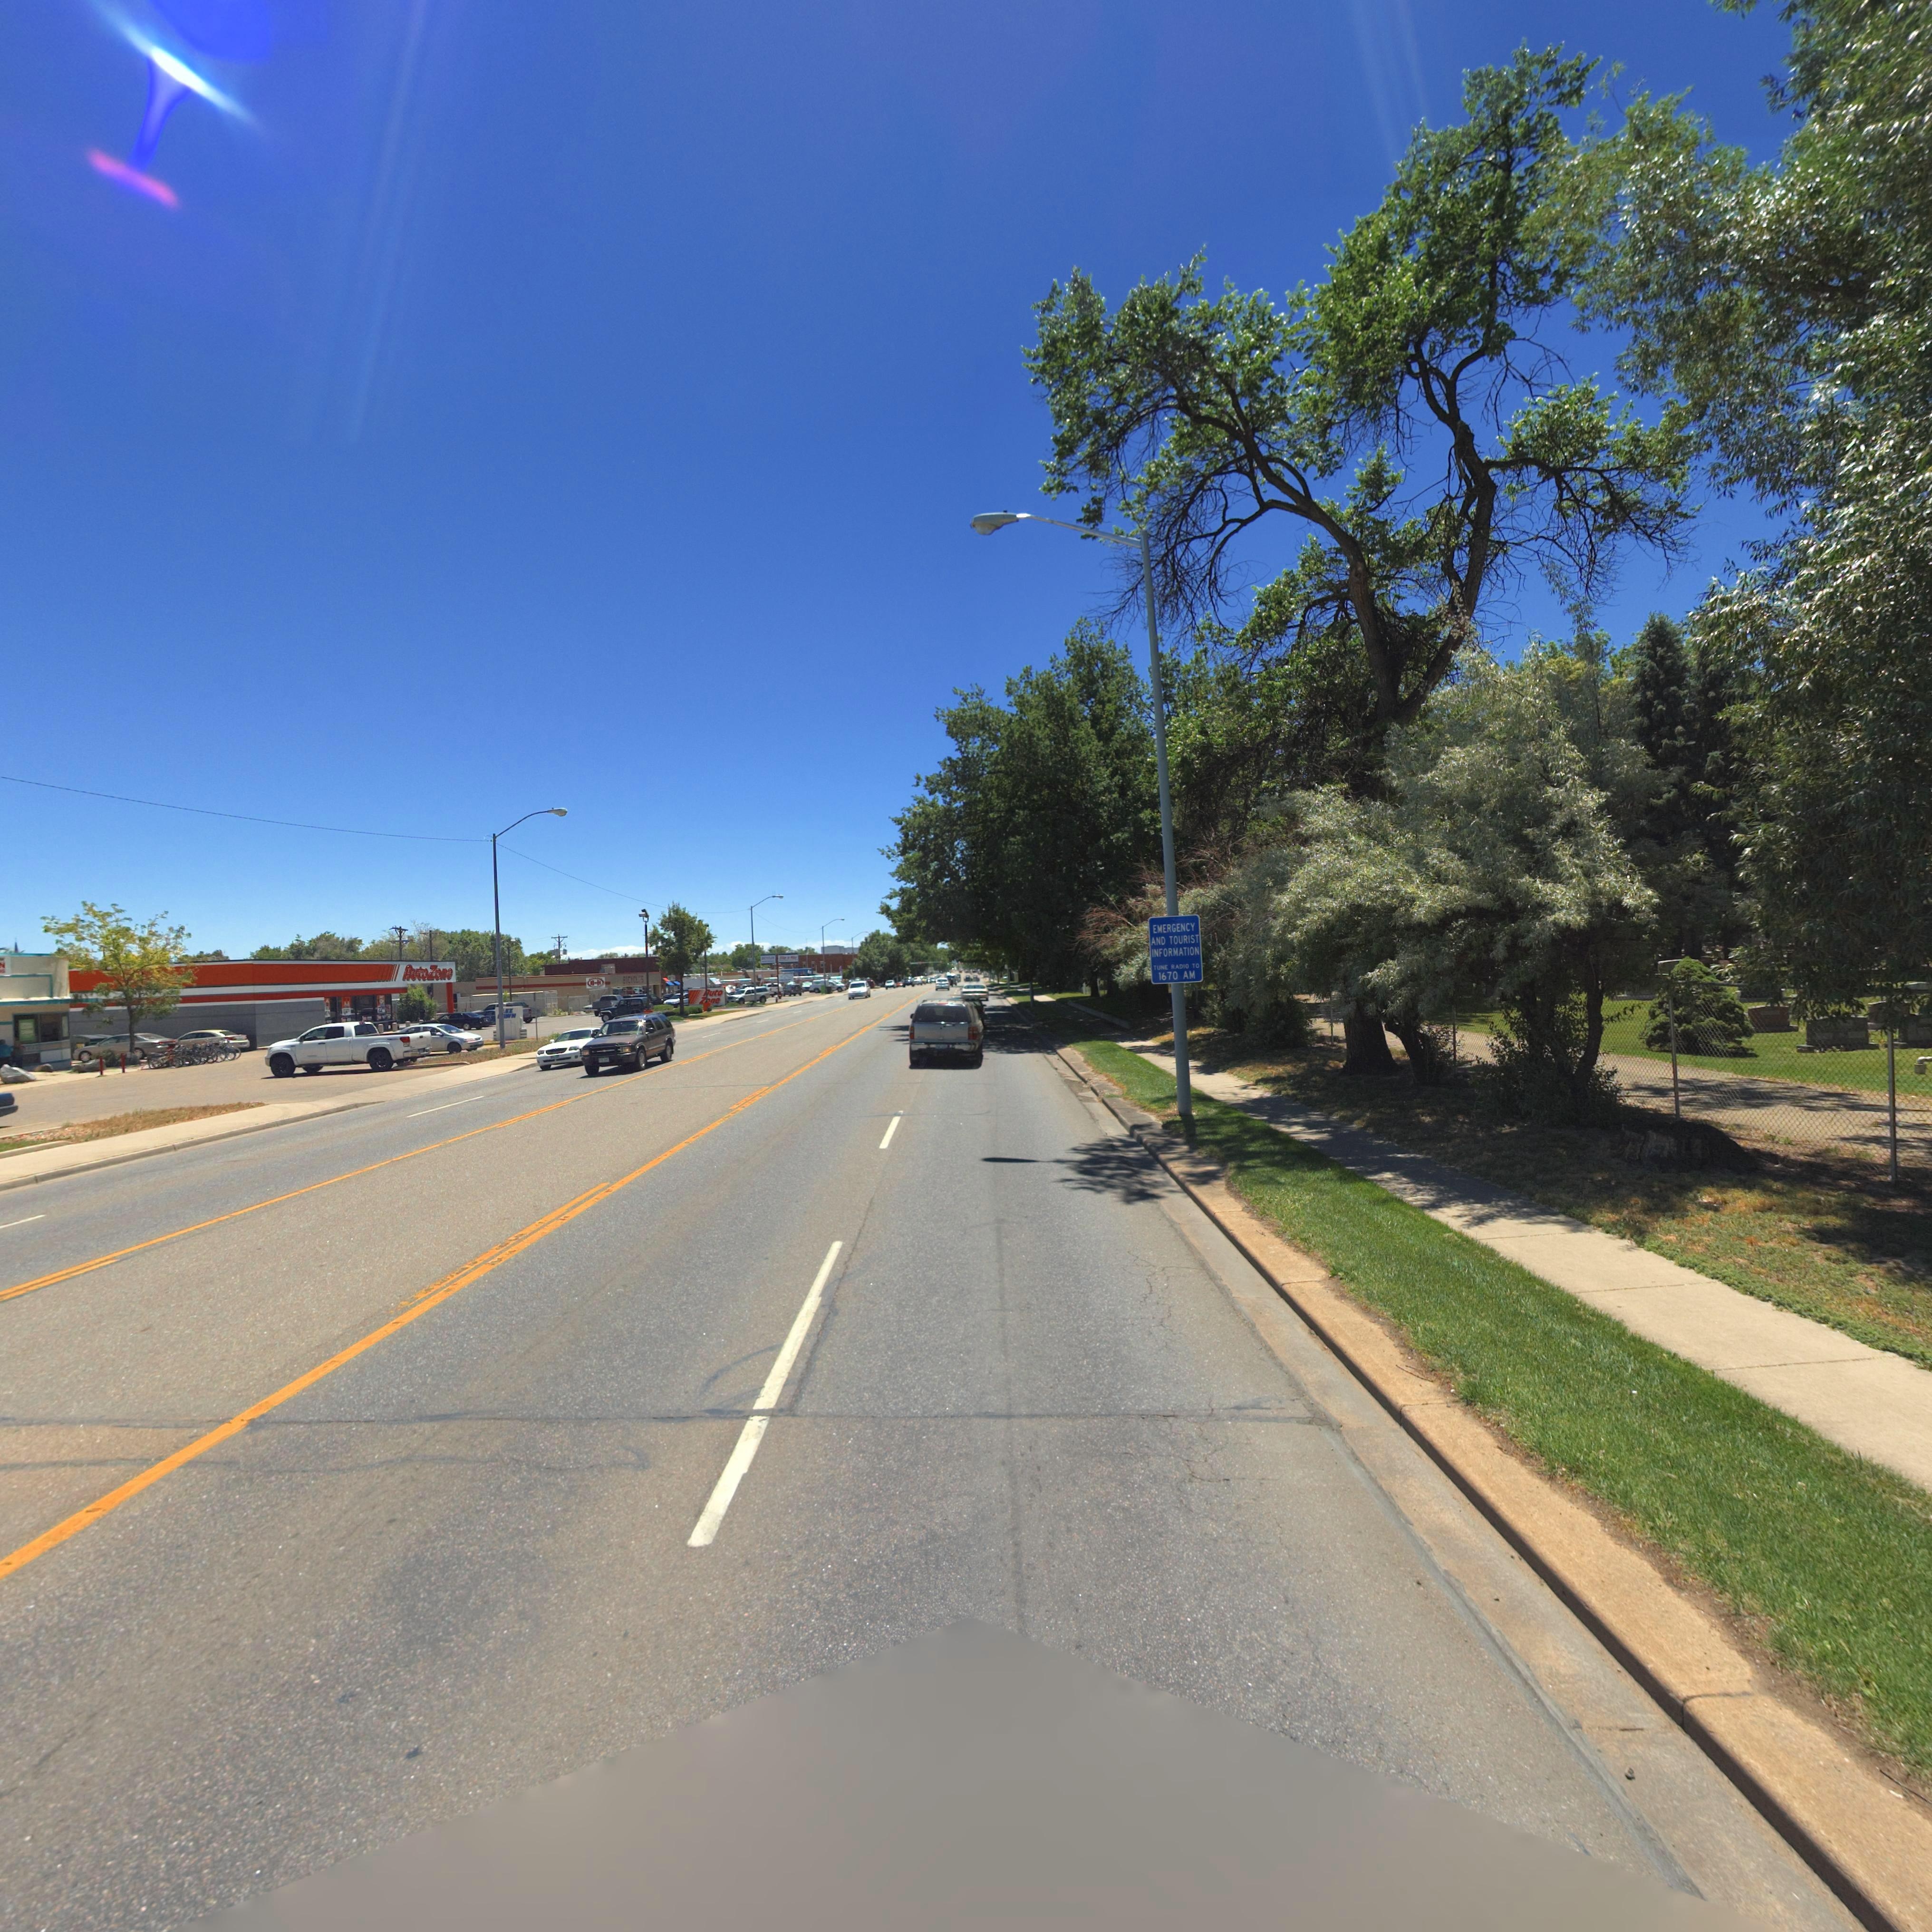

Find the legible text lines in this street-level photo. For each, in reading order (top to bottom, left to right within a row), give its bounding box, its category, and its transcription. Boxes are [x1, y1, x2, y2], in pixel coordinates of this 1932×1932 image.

[401, 964, 453, 981] BusinessName: AutoZone
[589, 979, 601, 985] BusinessName: B*H
[622, 975, 644, 984] BusinessName: BICYCLES
[702, 988, 723, 996] BusinessName: *uto
[698, 996, 721, 1004] BusinessName: Z*ne
[504, 1008, 513, 1013] BusinessName: EZ
[496, 1013, 516, 1019] BusinessName: **WN